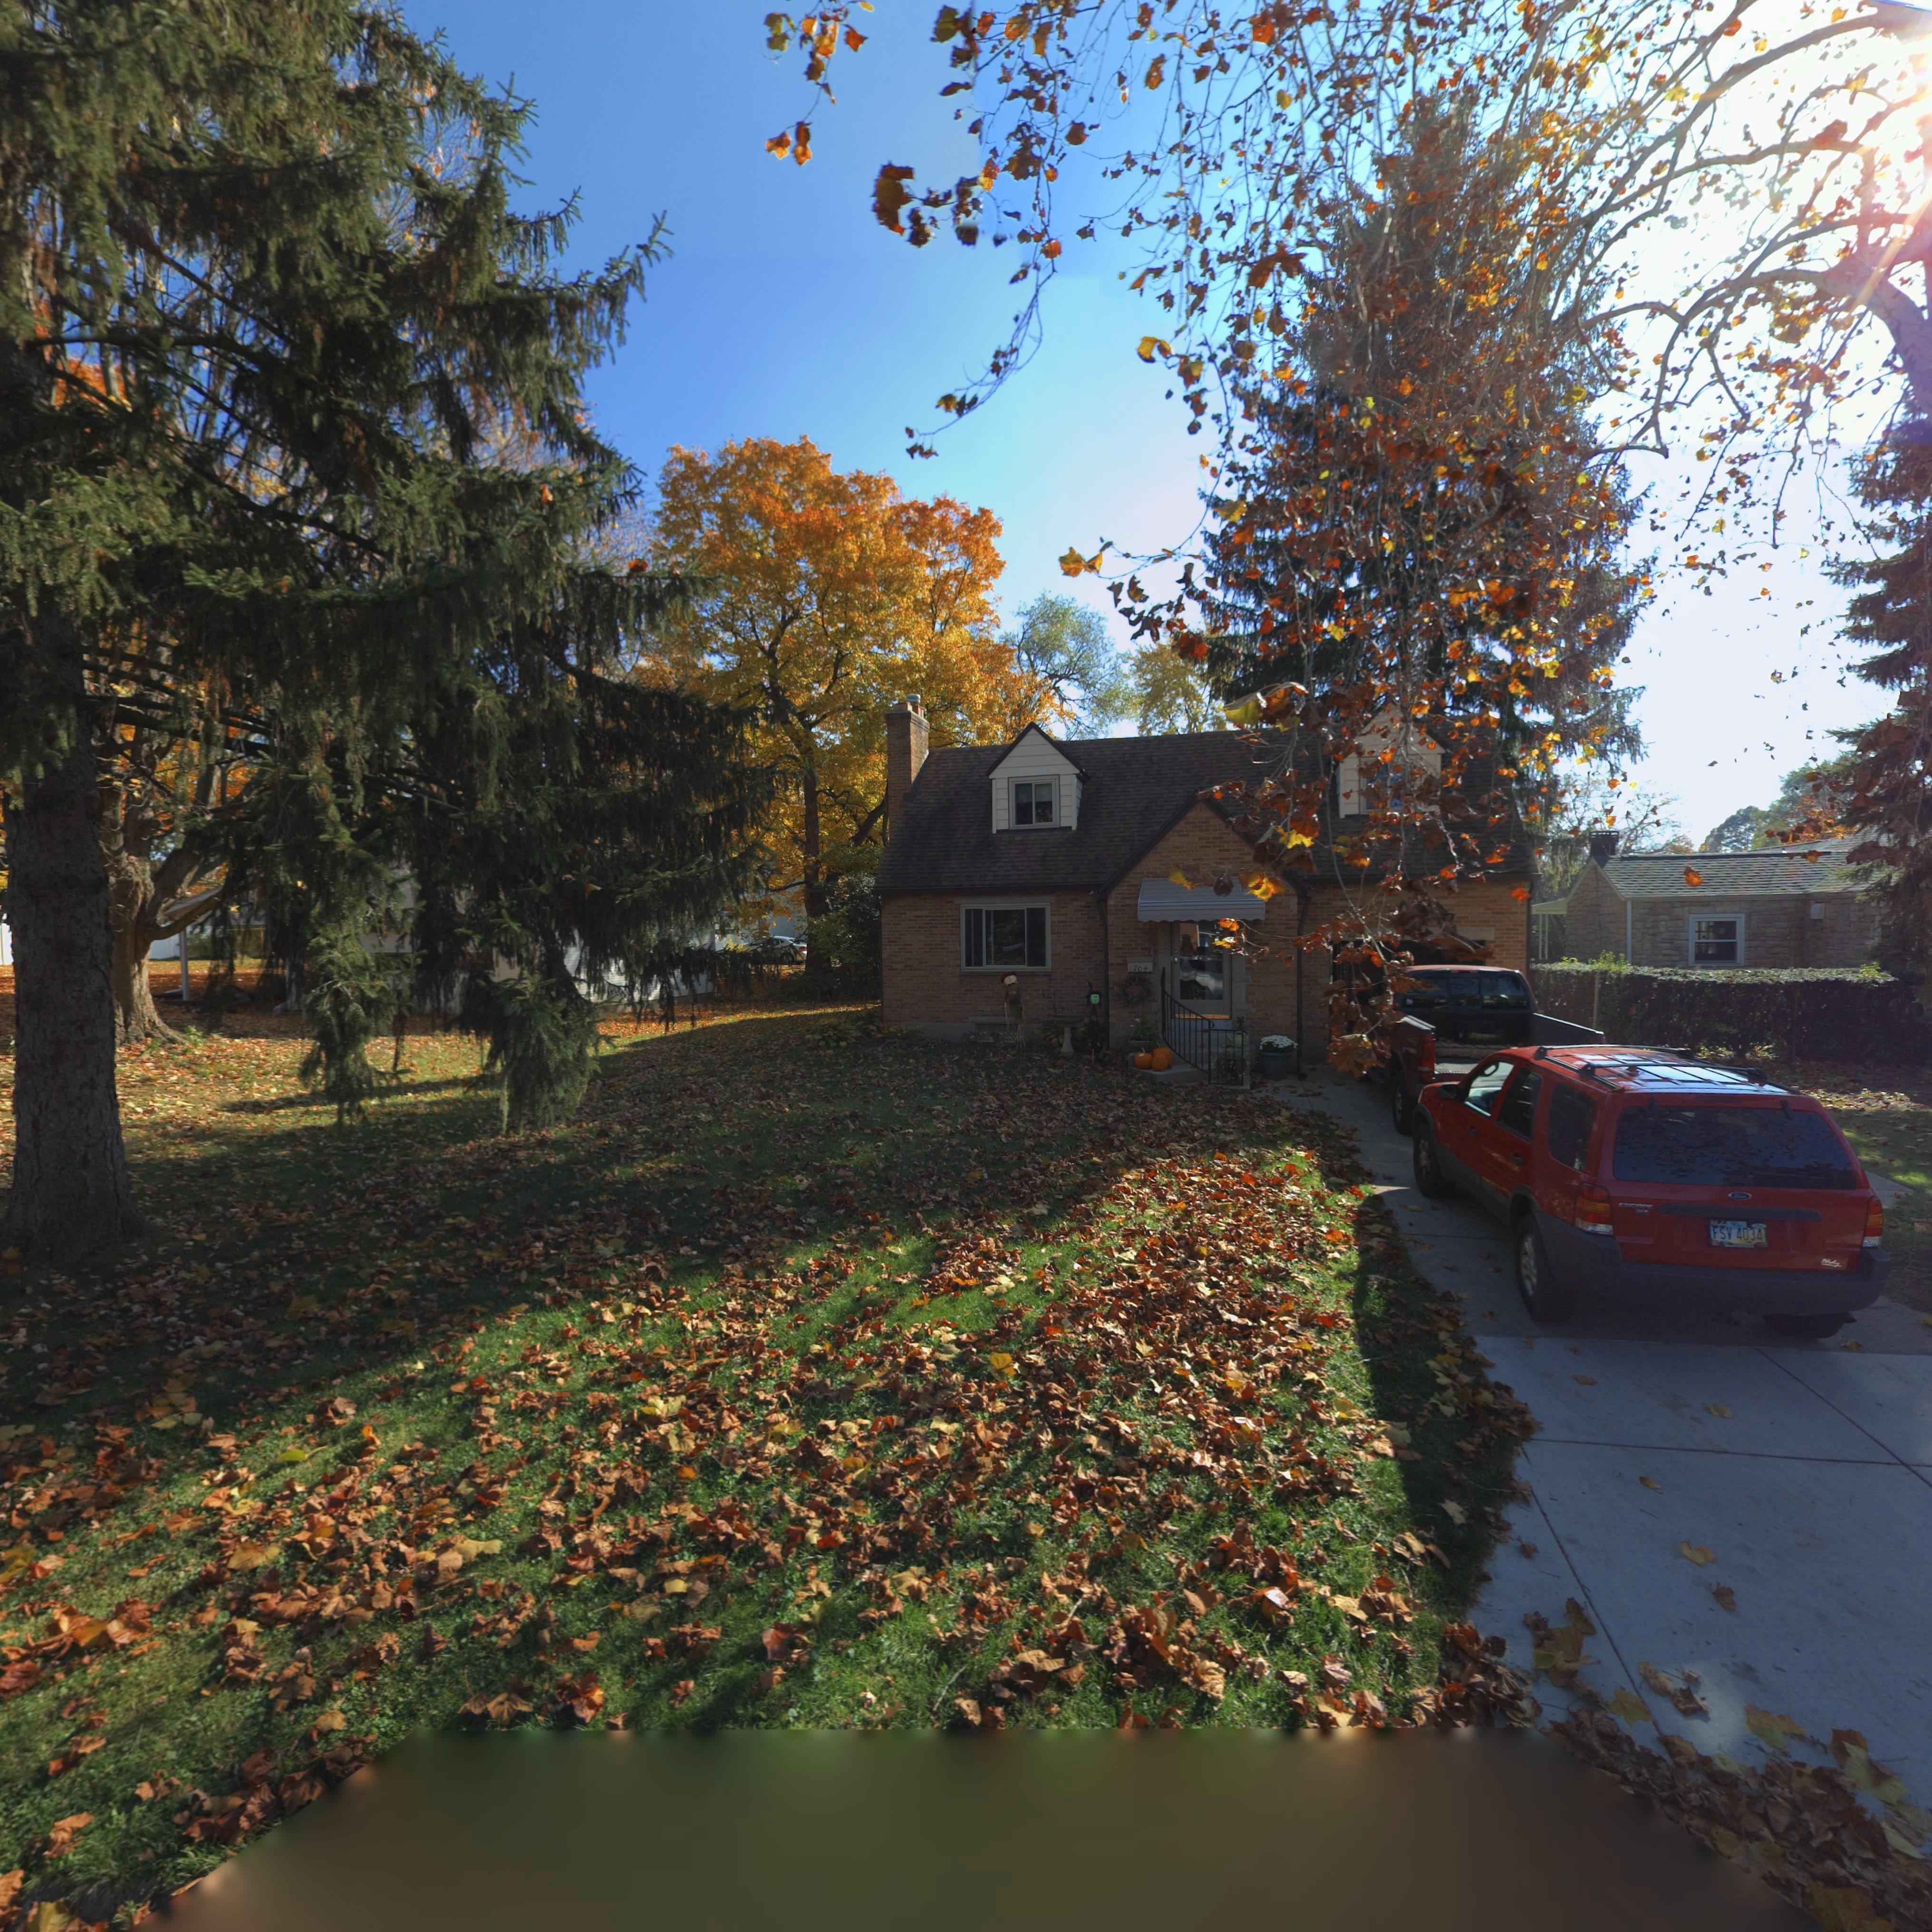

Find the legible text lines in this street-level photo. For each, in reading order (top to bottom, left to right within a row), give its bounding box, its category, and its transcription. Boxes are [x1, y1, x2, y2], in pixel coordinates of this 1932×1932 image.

[1133, 964, 1150, 973] StreetNumber: 704